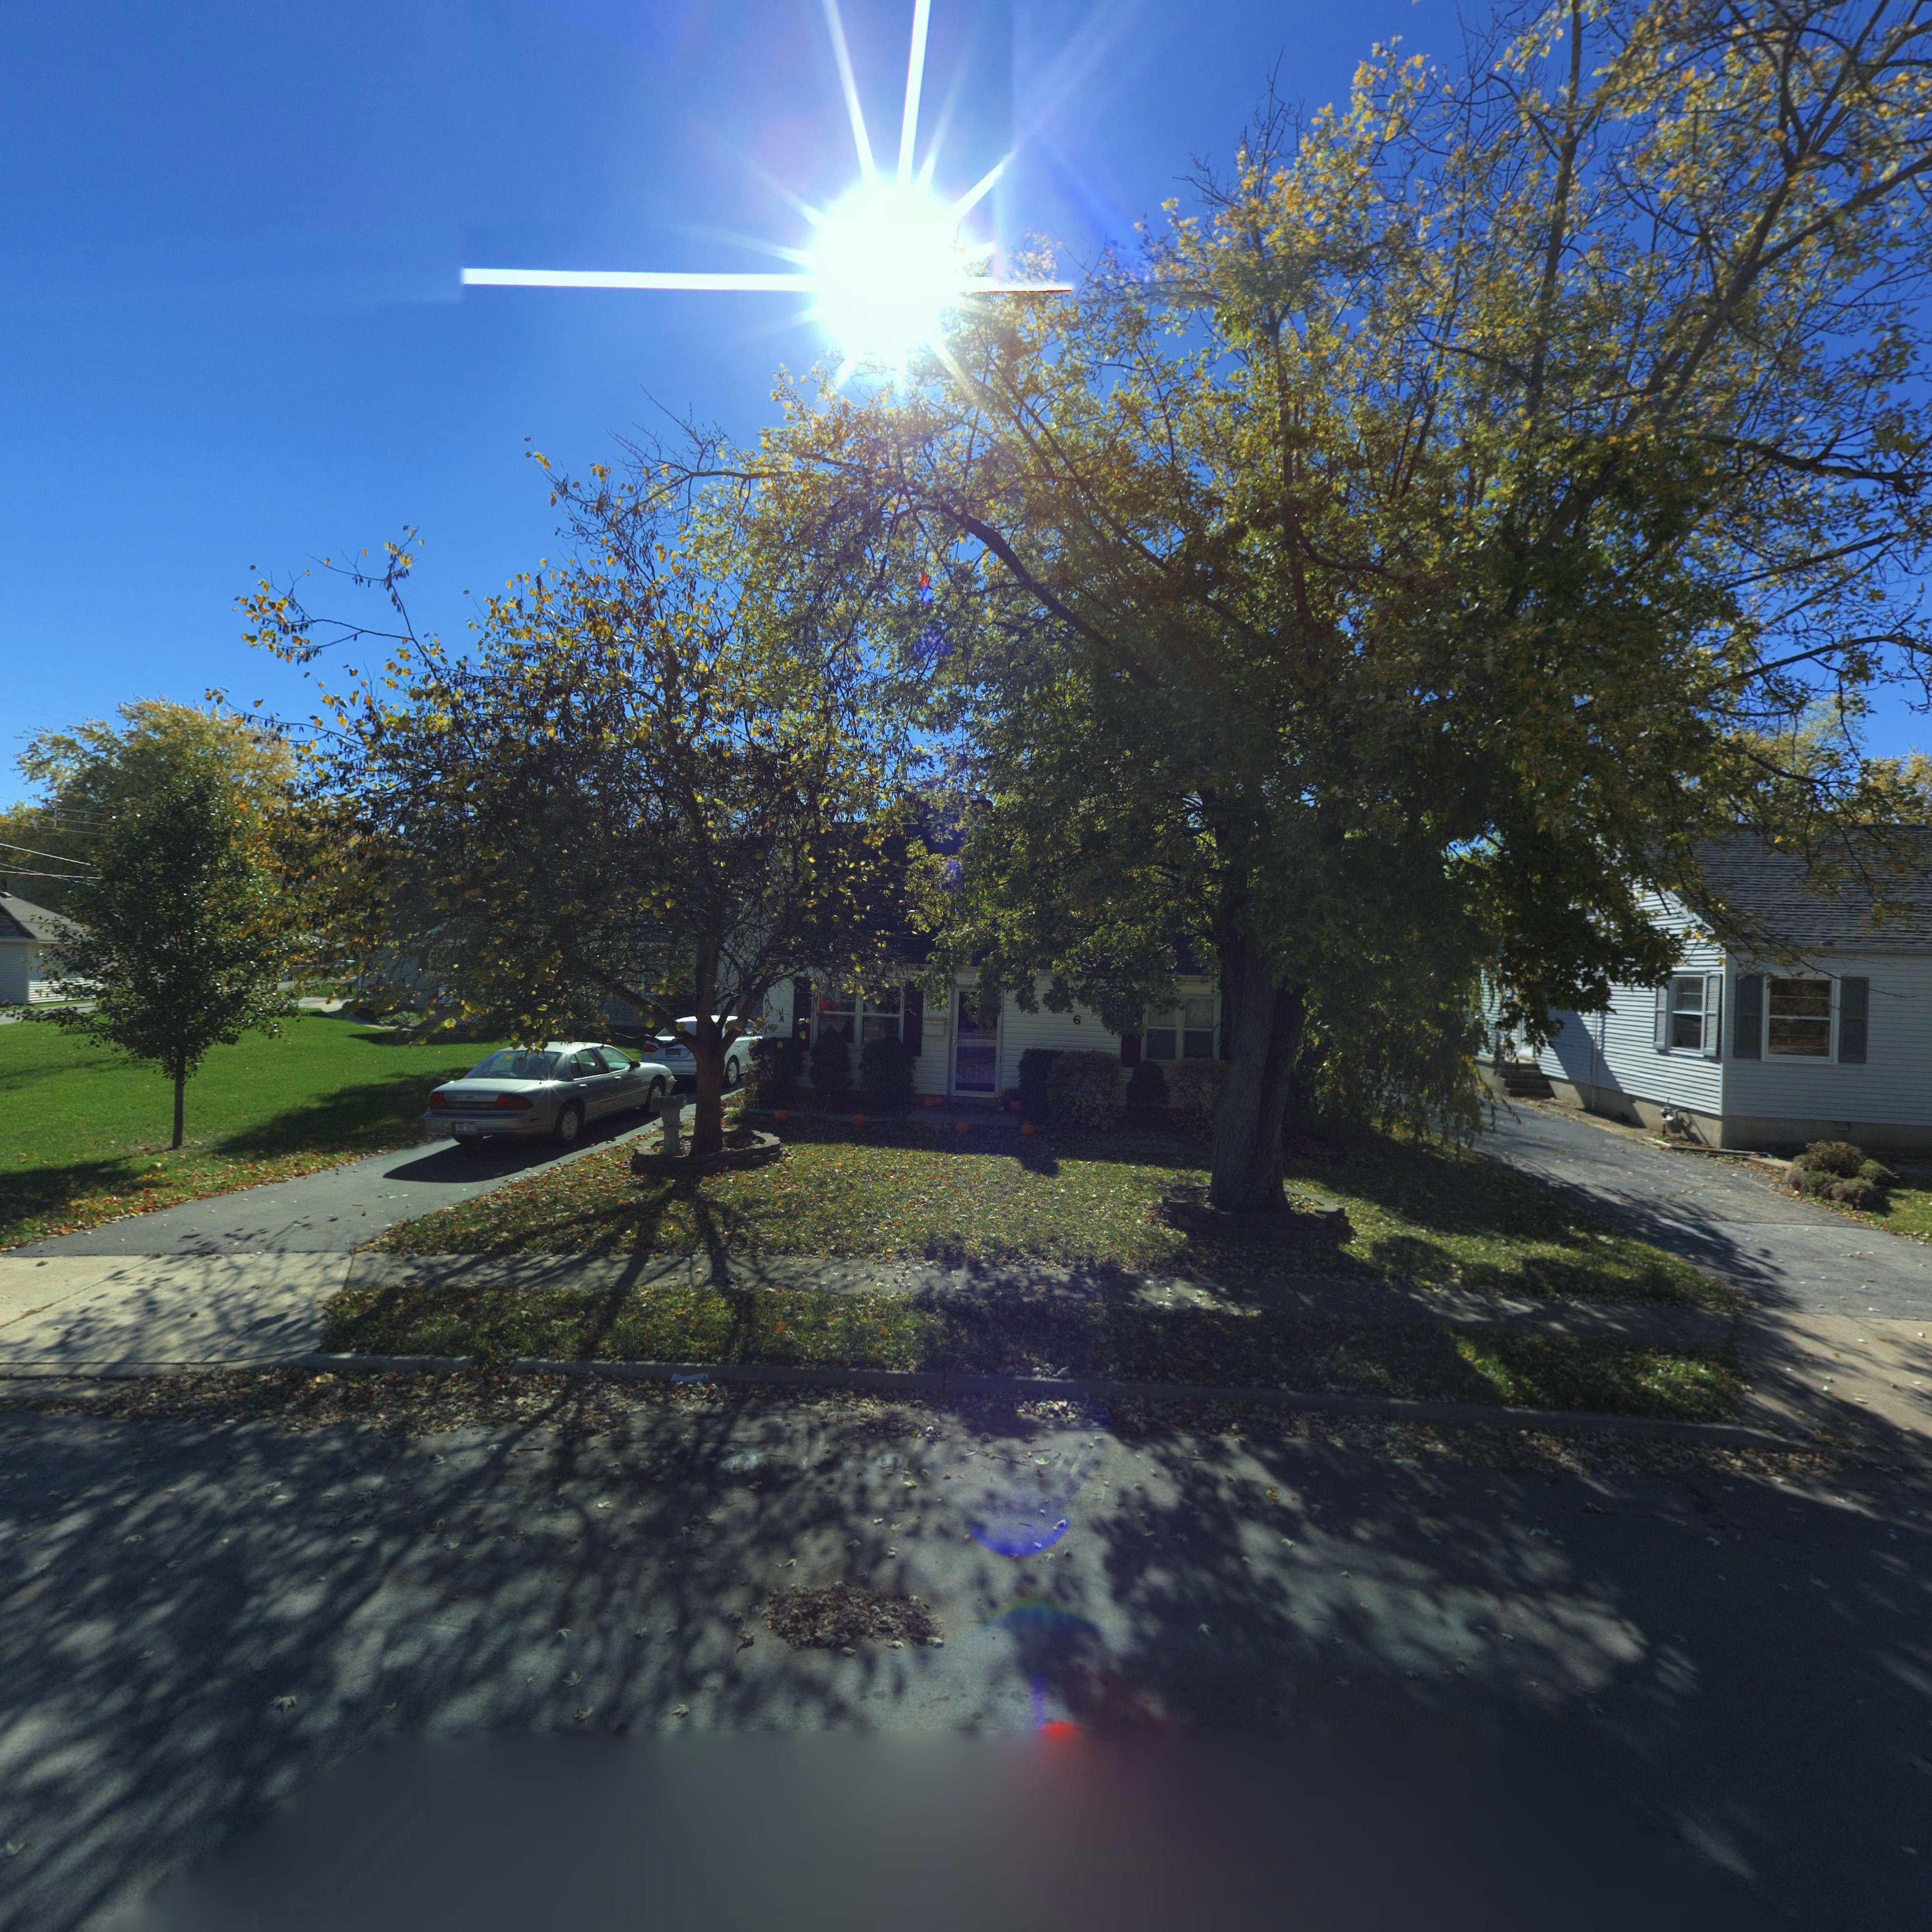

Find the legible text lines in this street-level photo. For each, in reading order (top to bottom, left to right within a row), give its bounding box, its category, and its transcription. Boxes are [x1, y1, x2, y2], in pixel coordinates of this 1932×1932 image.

[1072, 1014, 1082, 1026] StreetNumber: 6